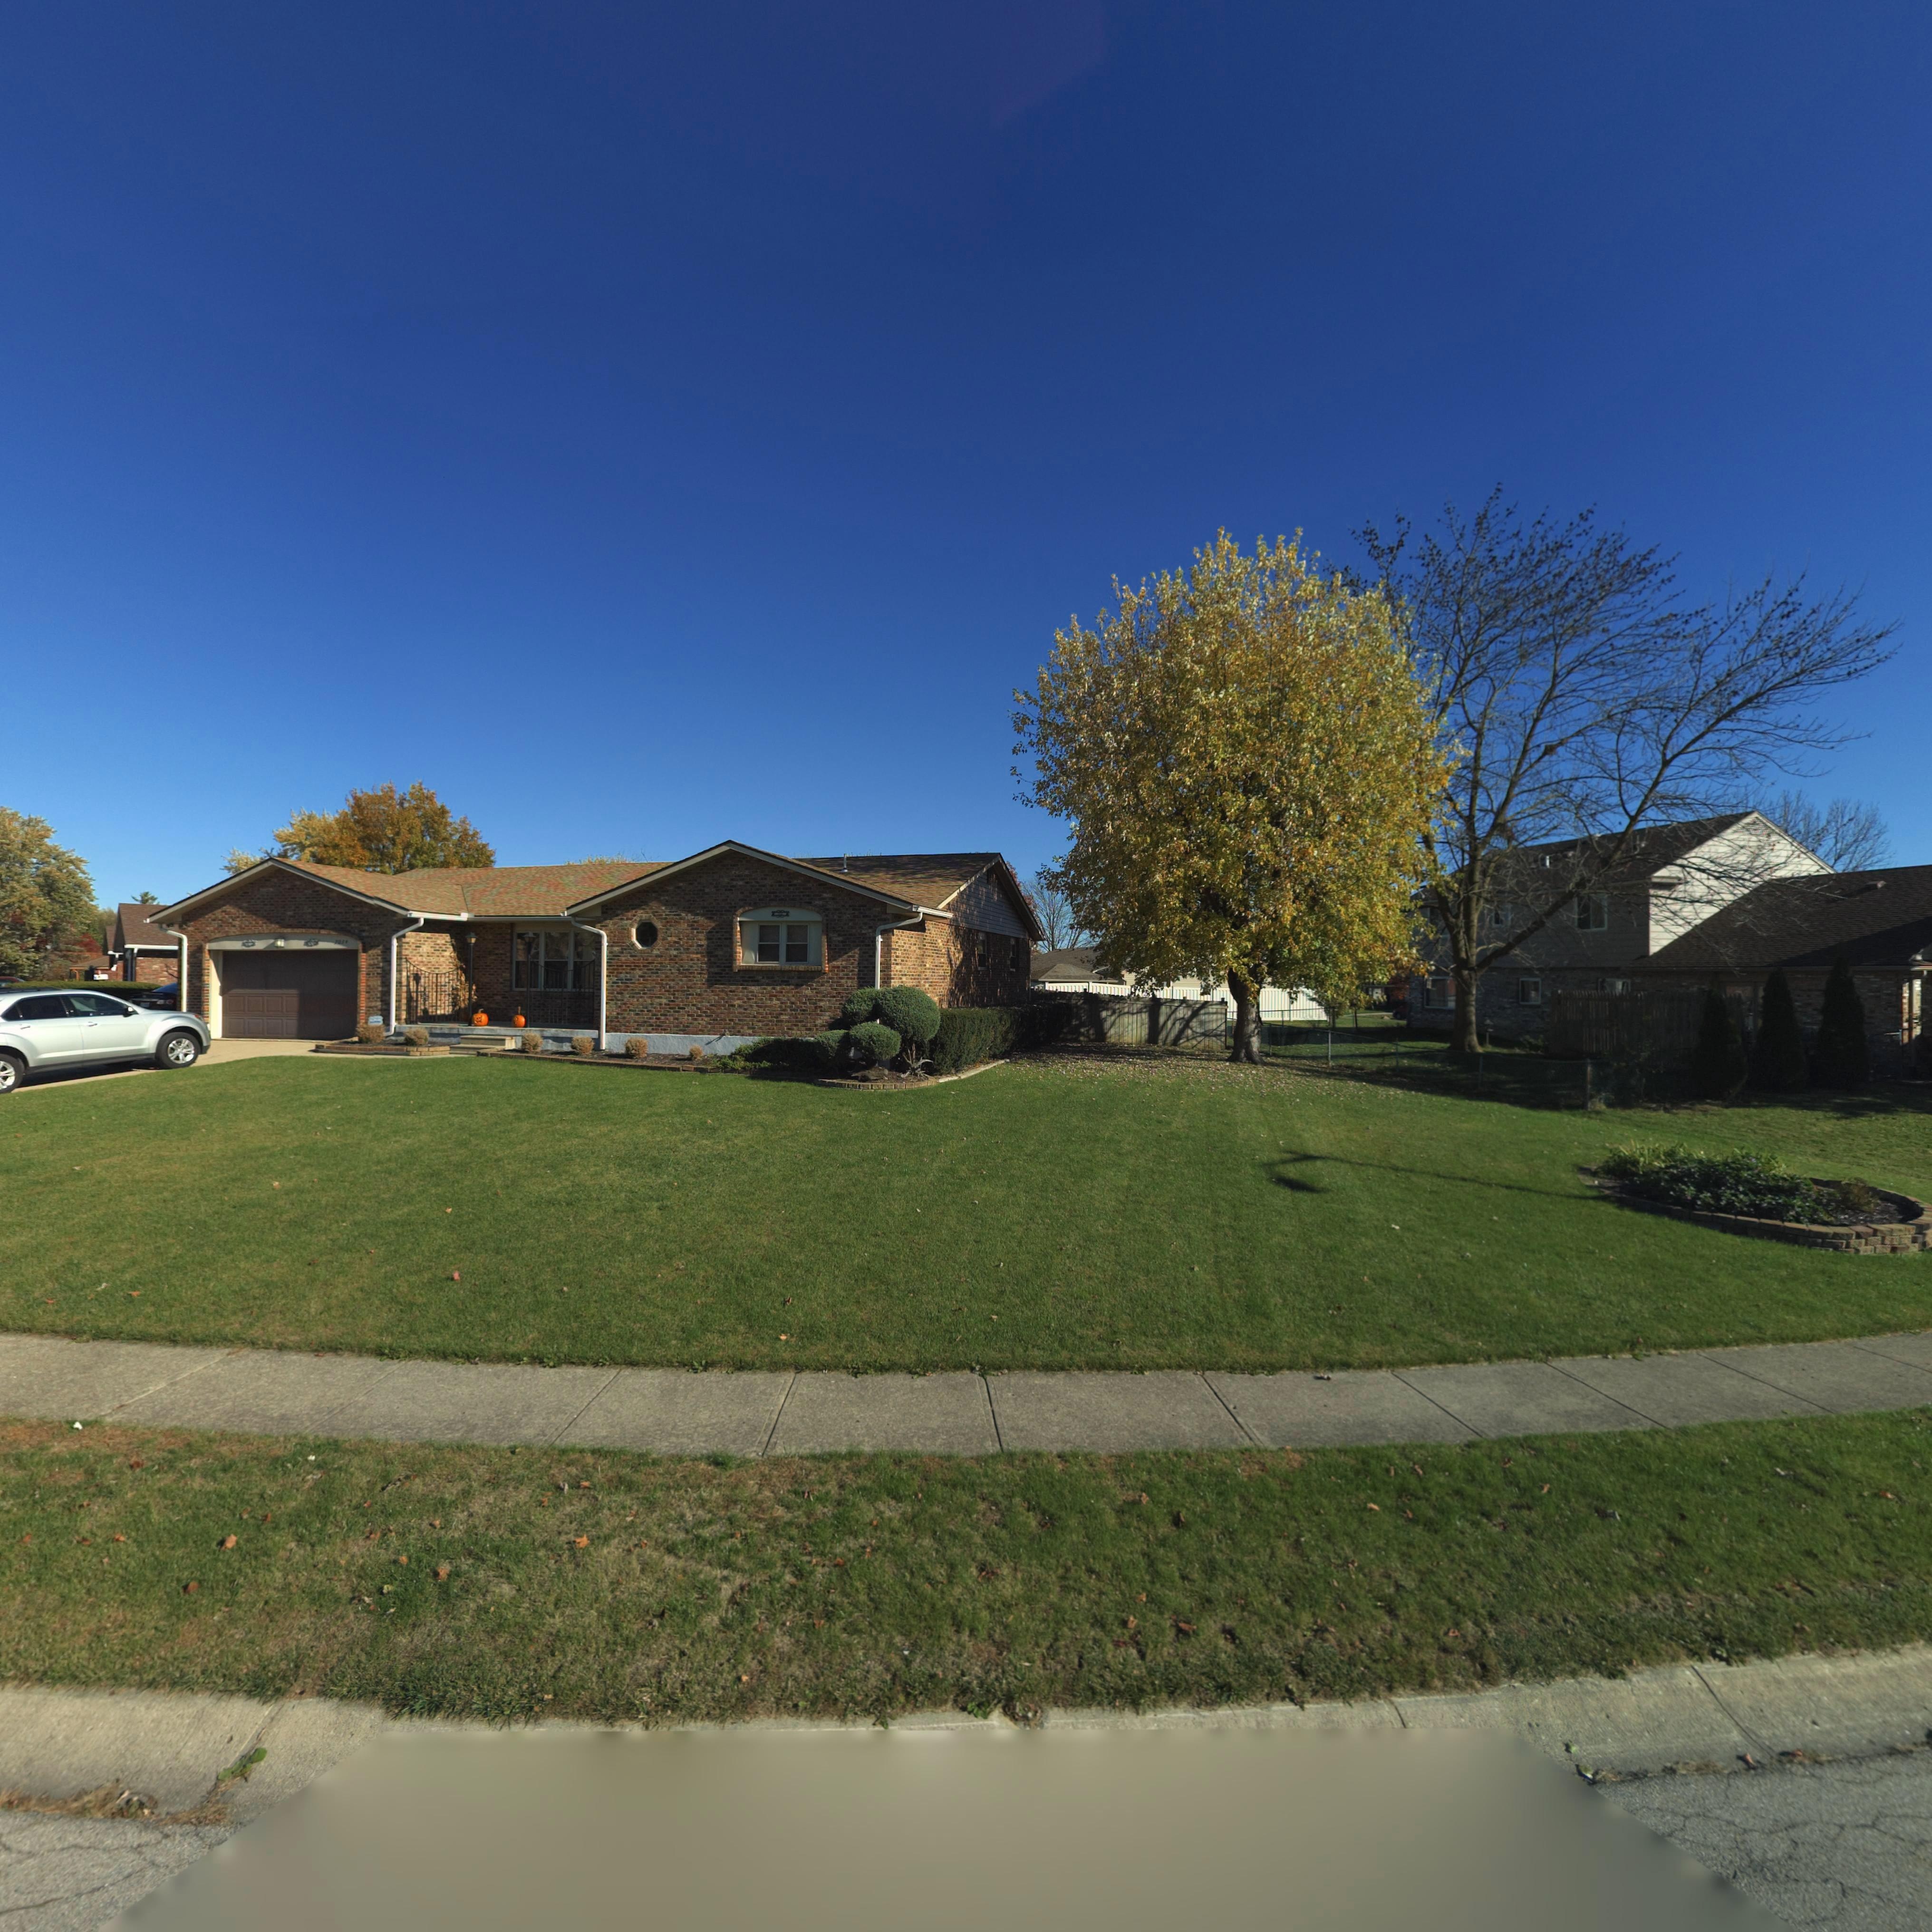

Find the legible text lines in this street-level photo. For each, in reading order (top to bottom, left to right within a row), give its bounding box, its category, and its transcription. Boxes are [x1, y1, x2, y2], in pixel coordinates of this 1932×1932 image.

[333, 939, 349, 945] StreetNumber: 7034